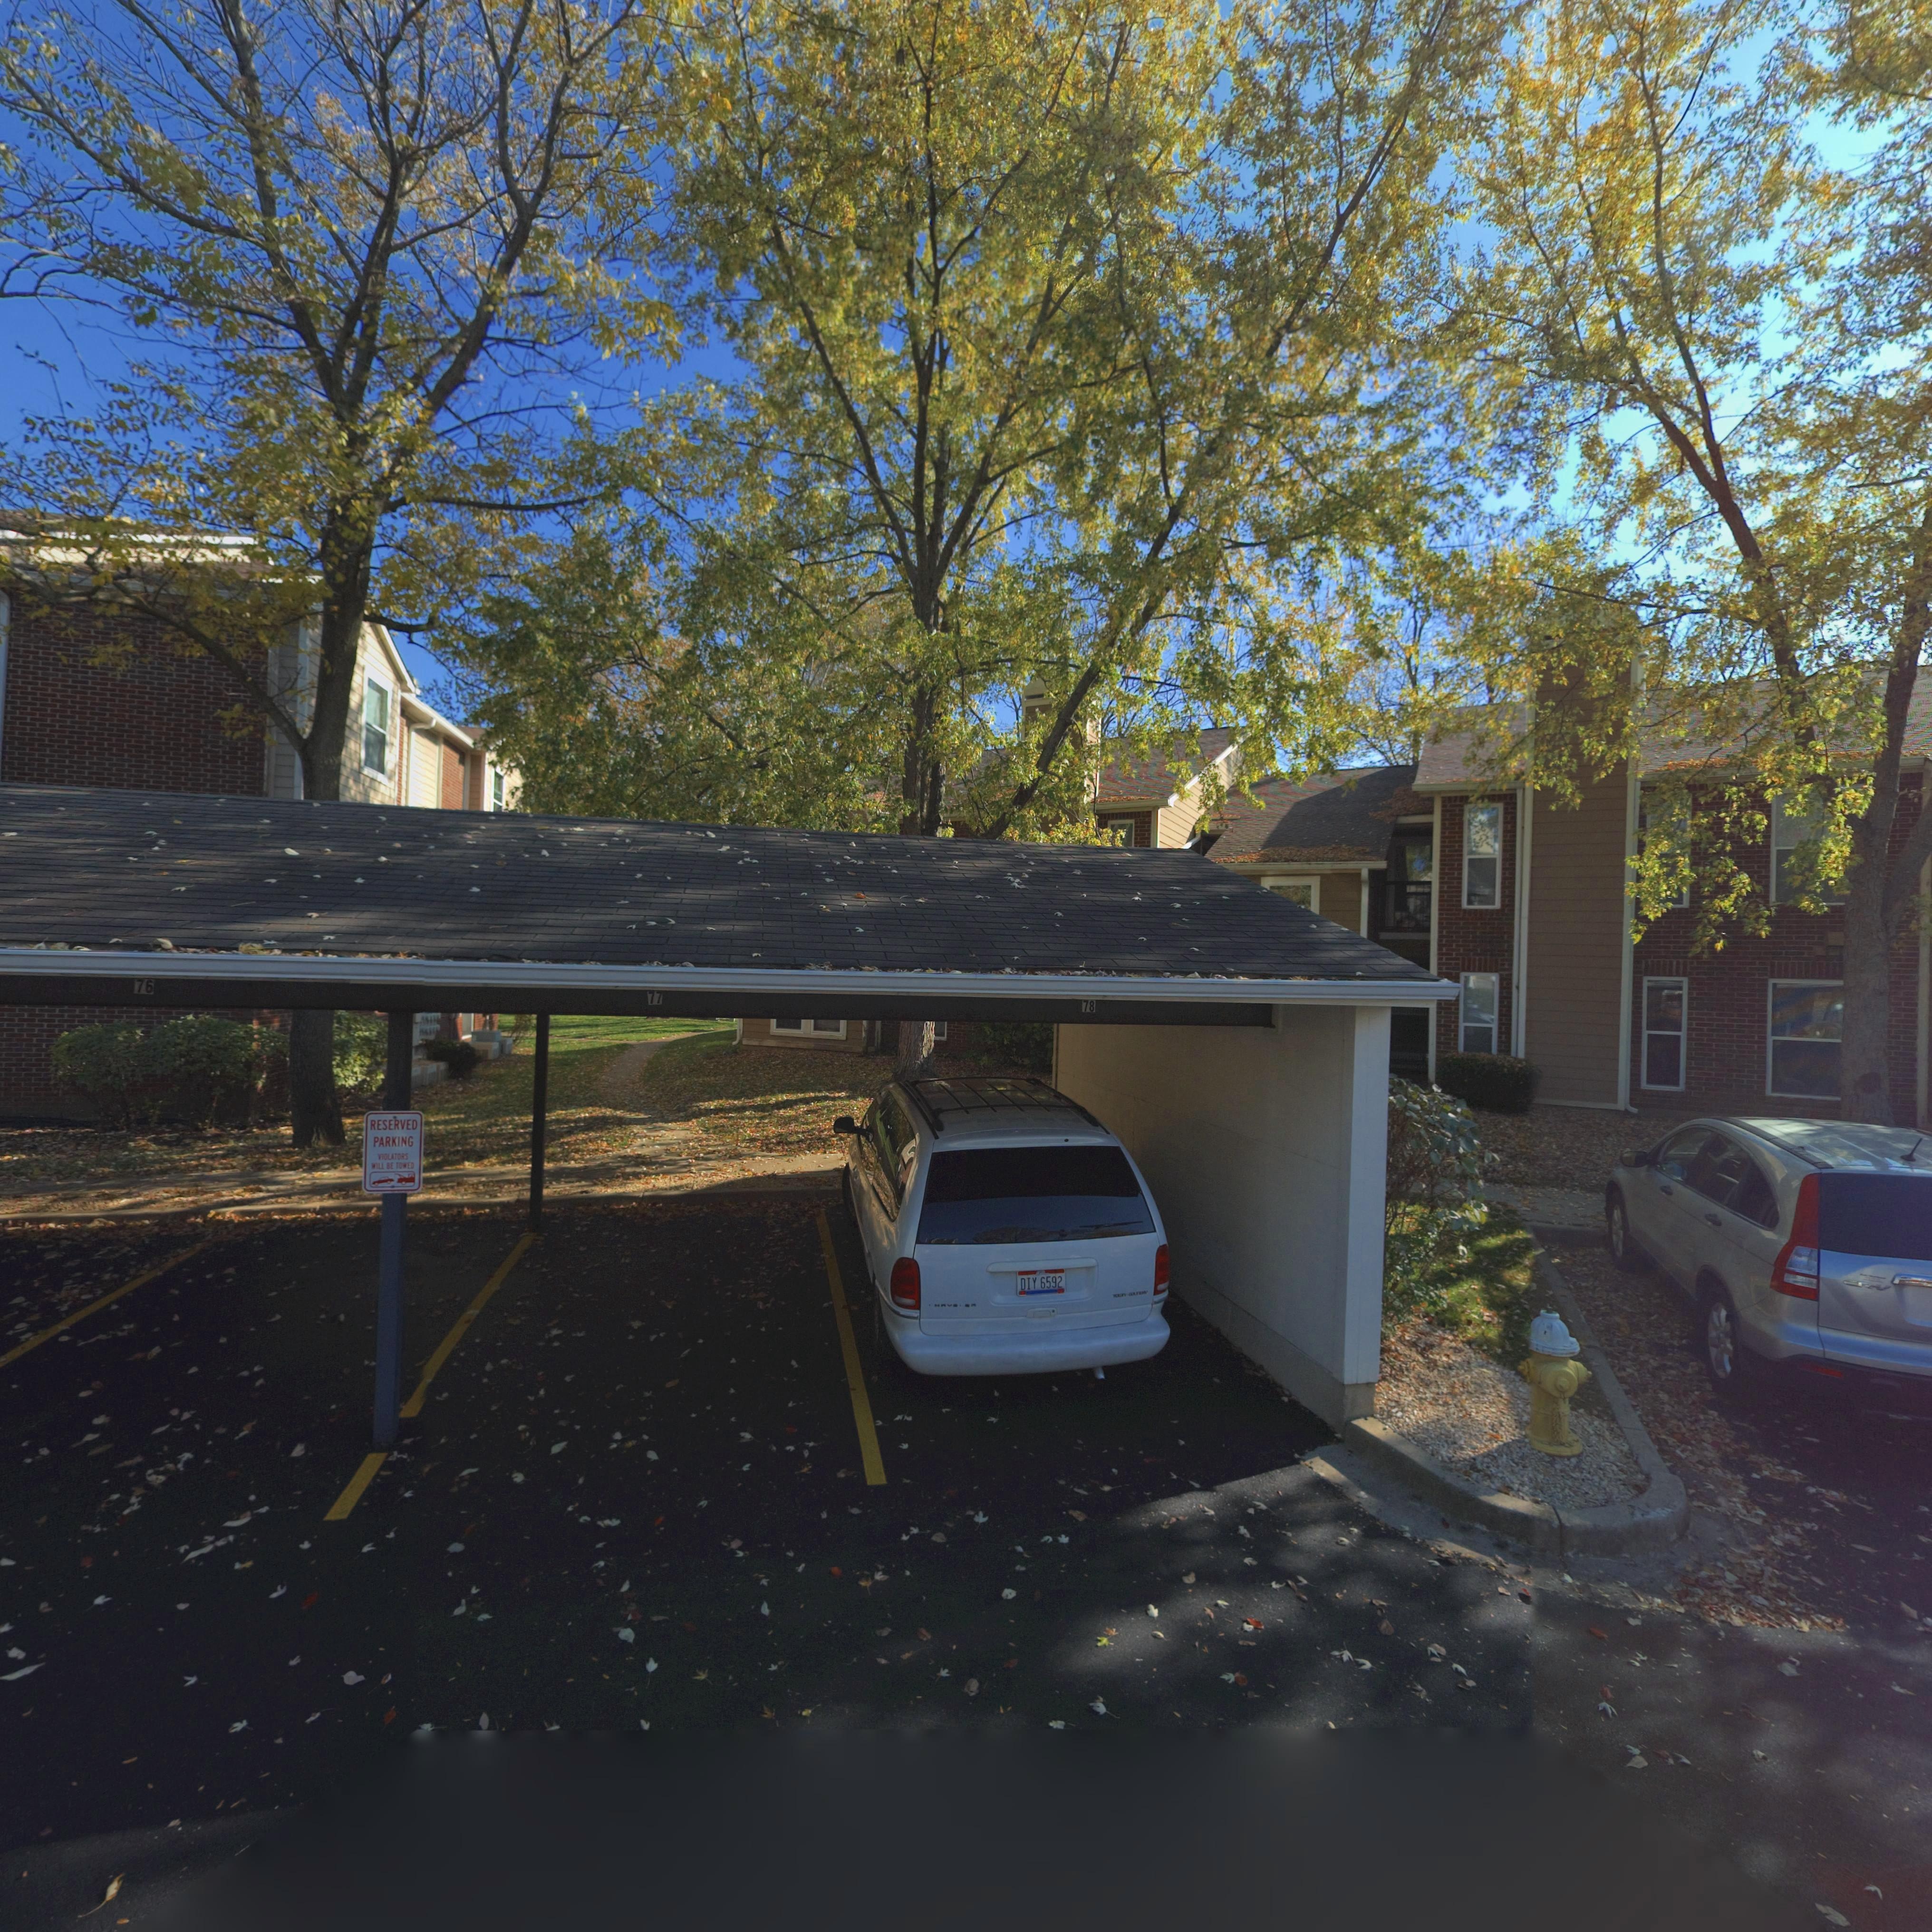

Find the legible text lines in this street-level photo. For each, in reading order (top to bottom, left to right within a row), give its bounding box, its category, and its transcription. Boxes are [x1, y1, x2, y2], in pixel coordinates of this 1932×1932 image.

[135, 978, 155, 994] StreetNumber: 76
[647, 990, 664, 1005] StreetNumber: 77
[1082, 999, 1095, 1014] StreetNumber: 78
[369, 1118, 419, 1131] None: RESERVED
[372, 1135, 415, 1149] None: PARKING
[376, 1152, 410, 1161] None: VIOLATORS
[370, 1160, 416, 1171] None: *ILL BE TO*ED
[1020, 1275, 1063, 1291] None: DIY 6592